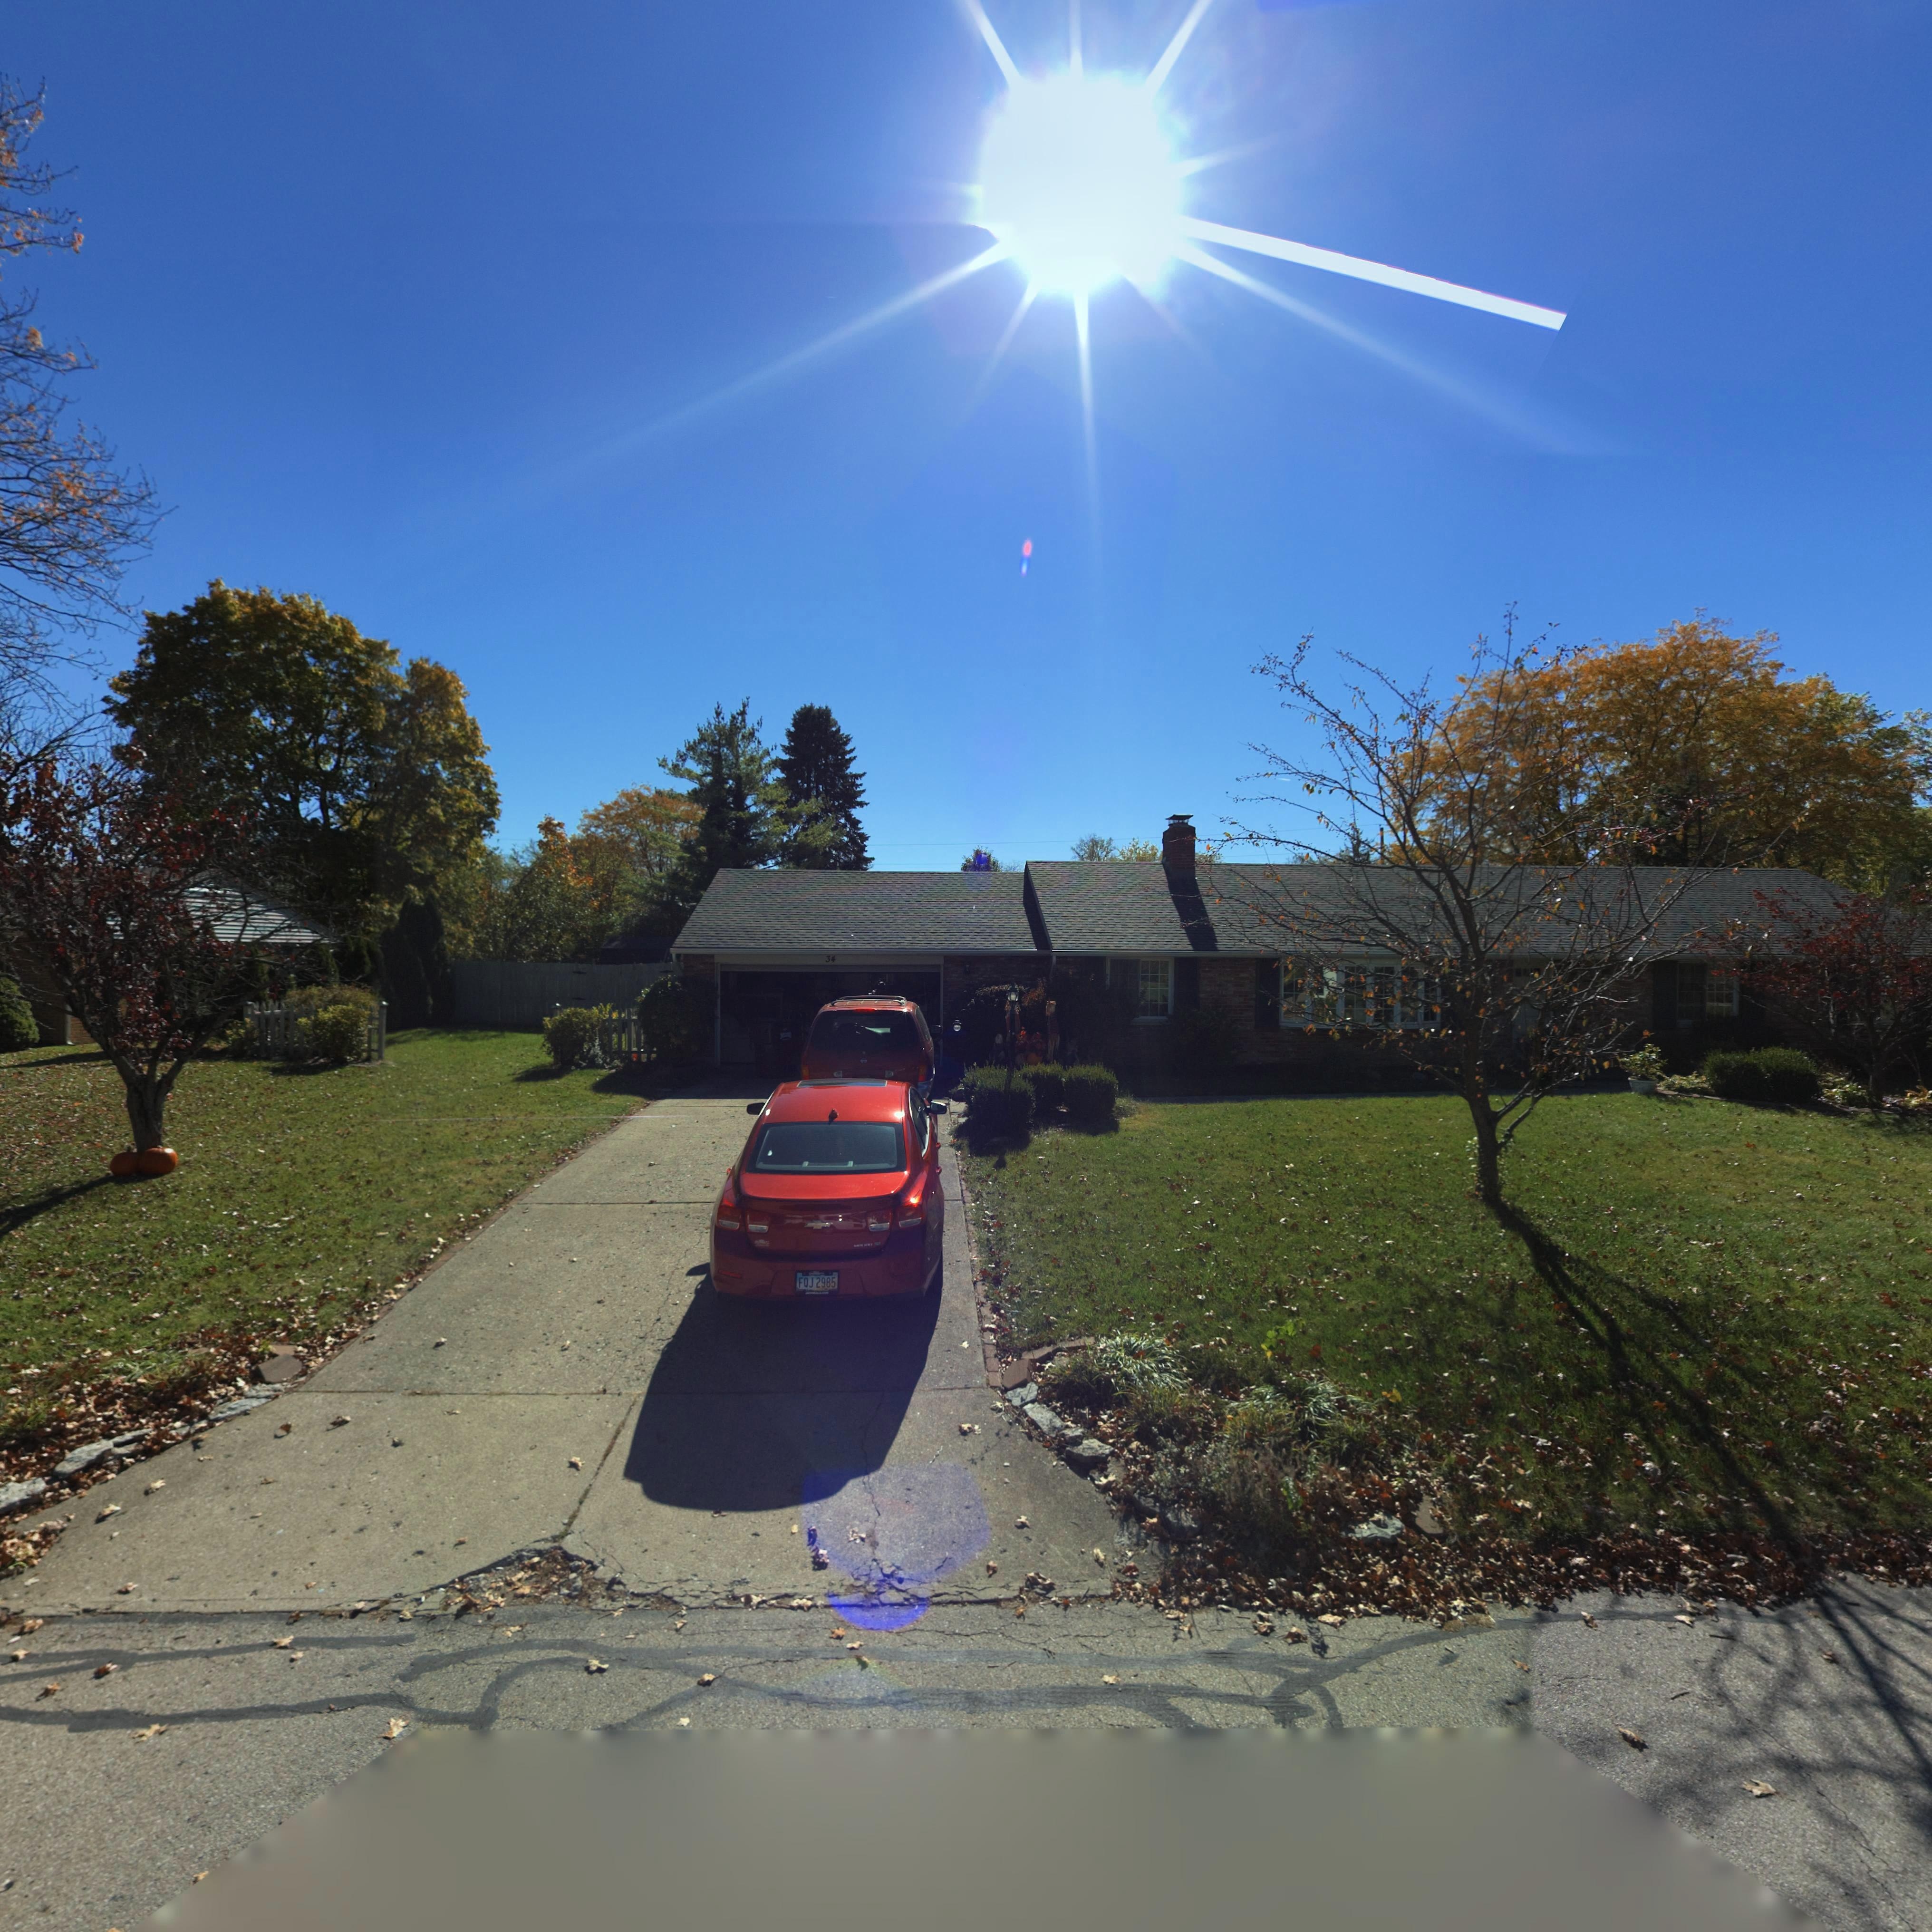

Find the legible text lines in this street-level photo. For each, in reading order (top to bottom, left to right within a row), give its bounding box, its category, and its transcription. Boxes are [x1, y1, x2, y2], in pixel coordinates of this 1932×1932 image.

[825, 955, 836, 963] StreetNumber: 34